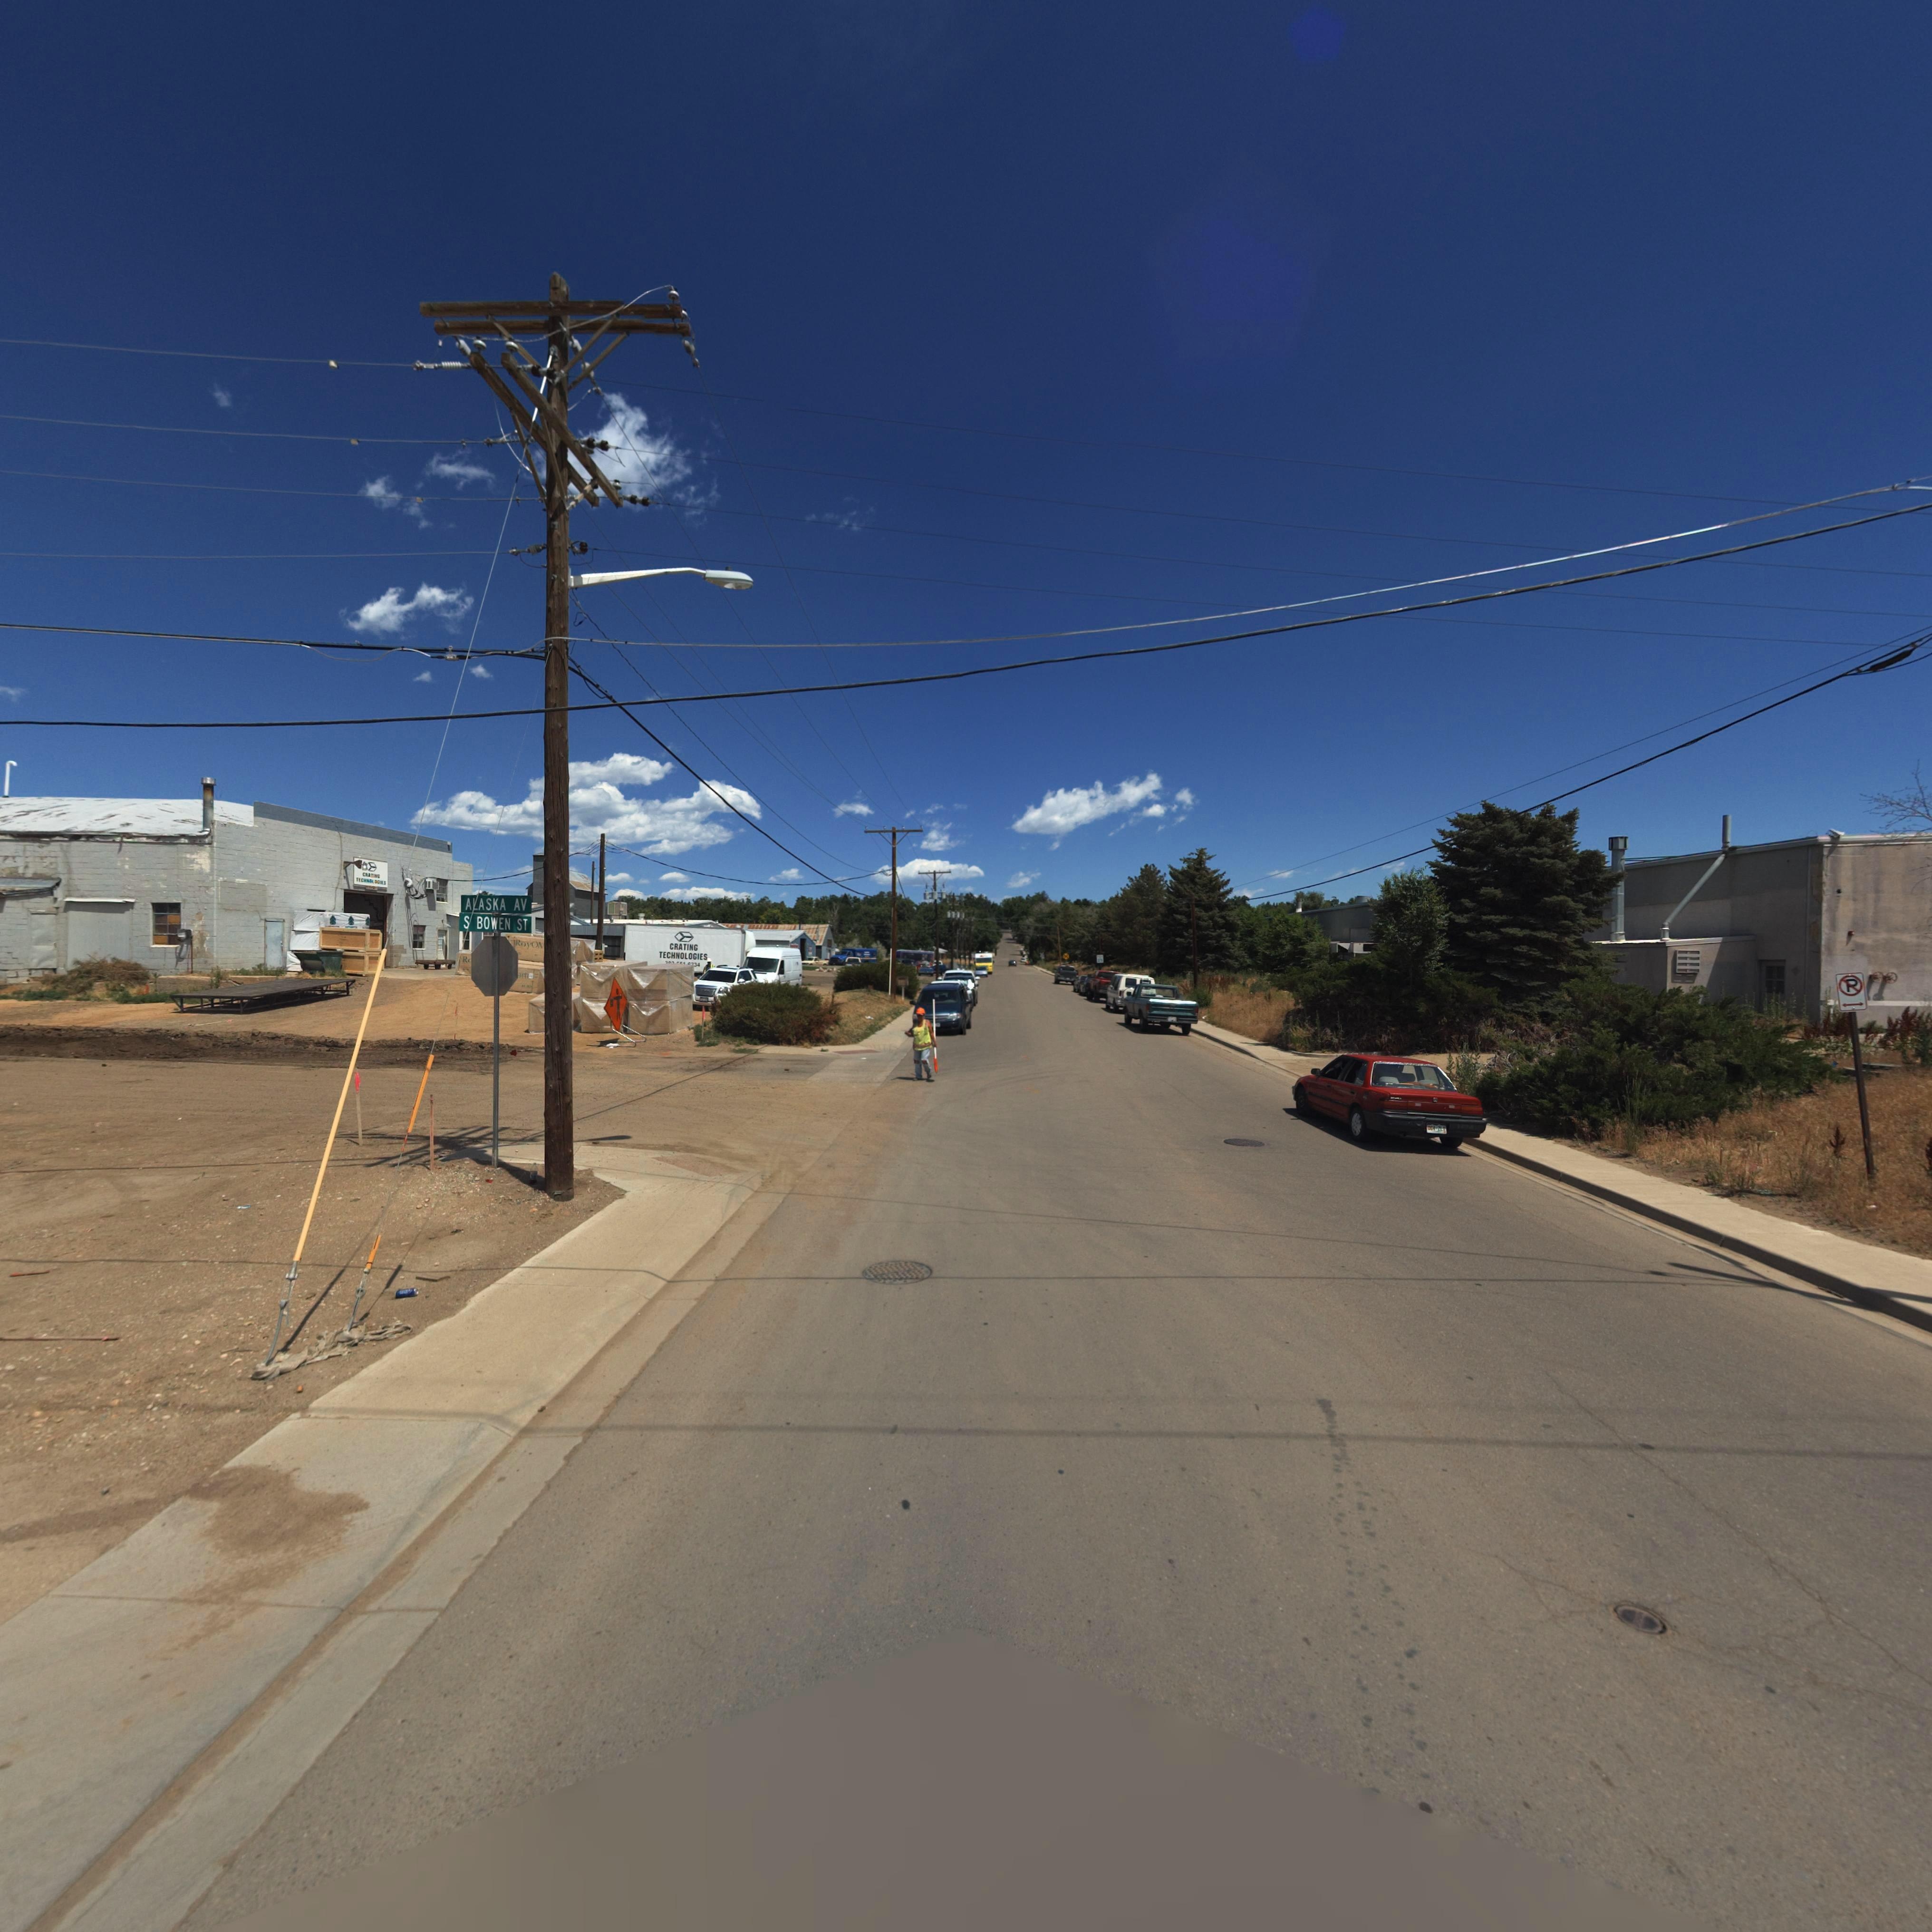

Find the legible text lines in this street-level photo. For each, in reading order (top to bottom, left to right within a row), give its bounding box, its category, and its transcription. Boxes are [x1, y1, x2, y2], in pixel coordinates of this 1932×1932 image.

[356, 877, 386, 885] BusinessName: TEC***LO*IESS
[362, 872, 380, 879] BusinessName: CR****G
[464, 897, 528, 911] StreetName: ALASKA AV
[463, 915, 528, 931] StreetName: S BOWEN ST